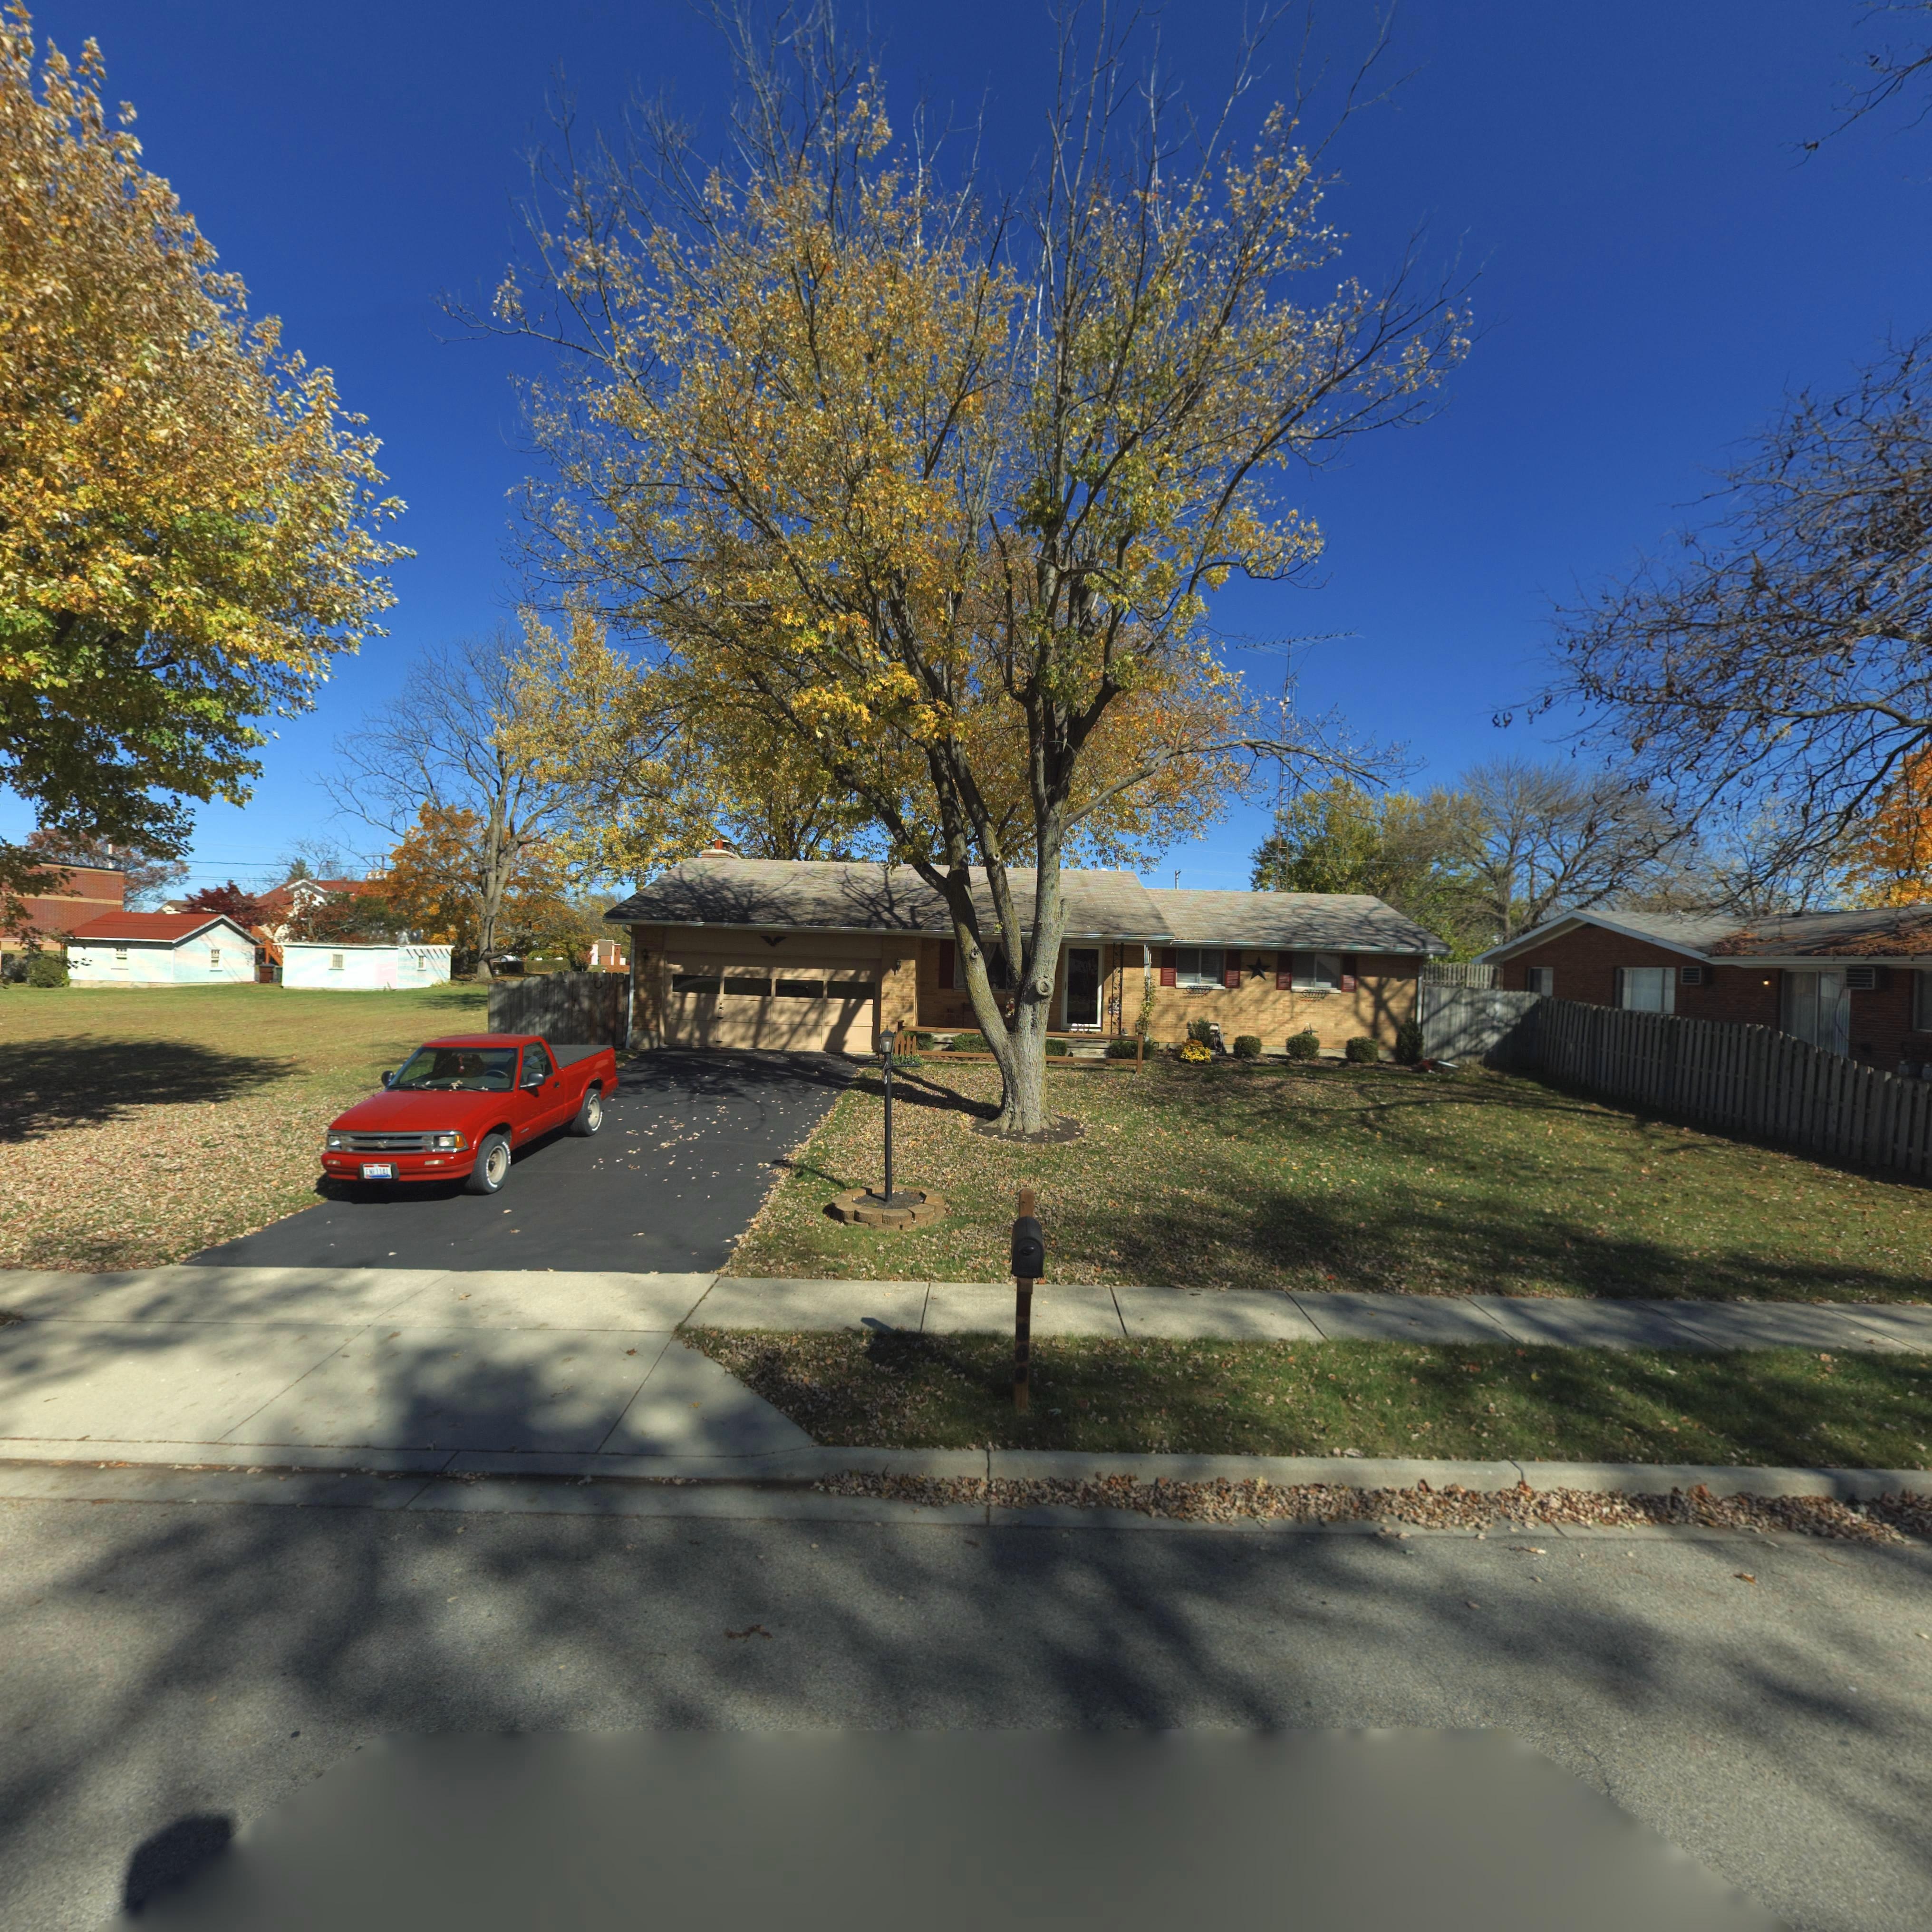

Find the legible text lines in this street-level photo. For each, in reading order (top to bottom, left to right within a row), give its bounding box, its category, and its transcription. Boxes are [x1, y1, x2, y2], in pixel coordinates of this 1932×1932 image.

[1015, 1322, 1029, 1384] StreetNumber: 608